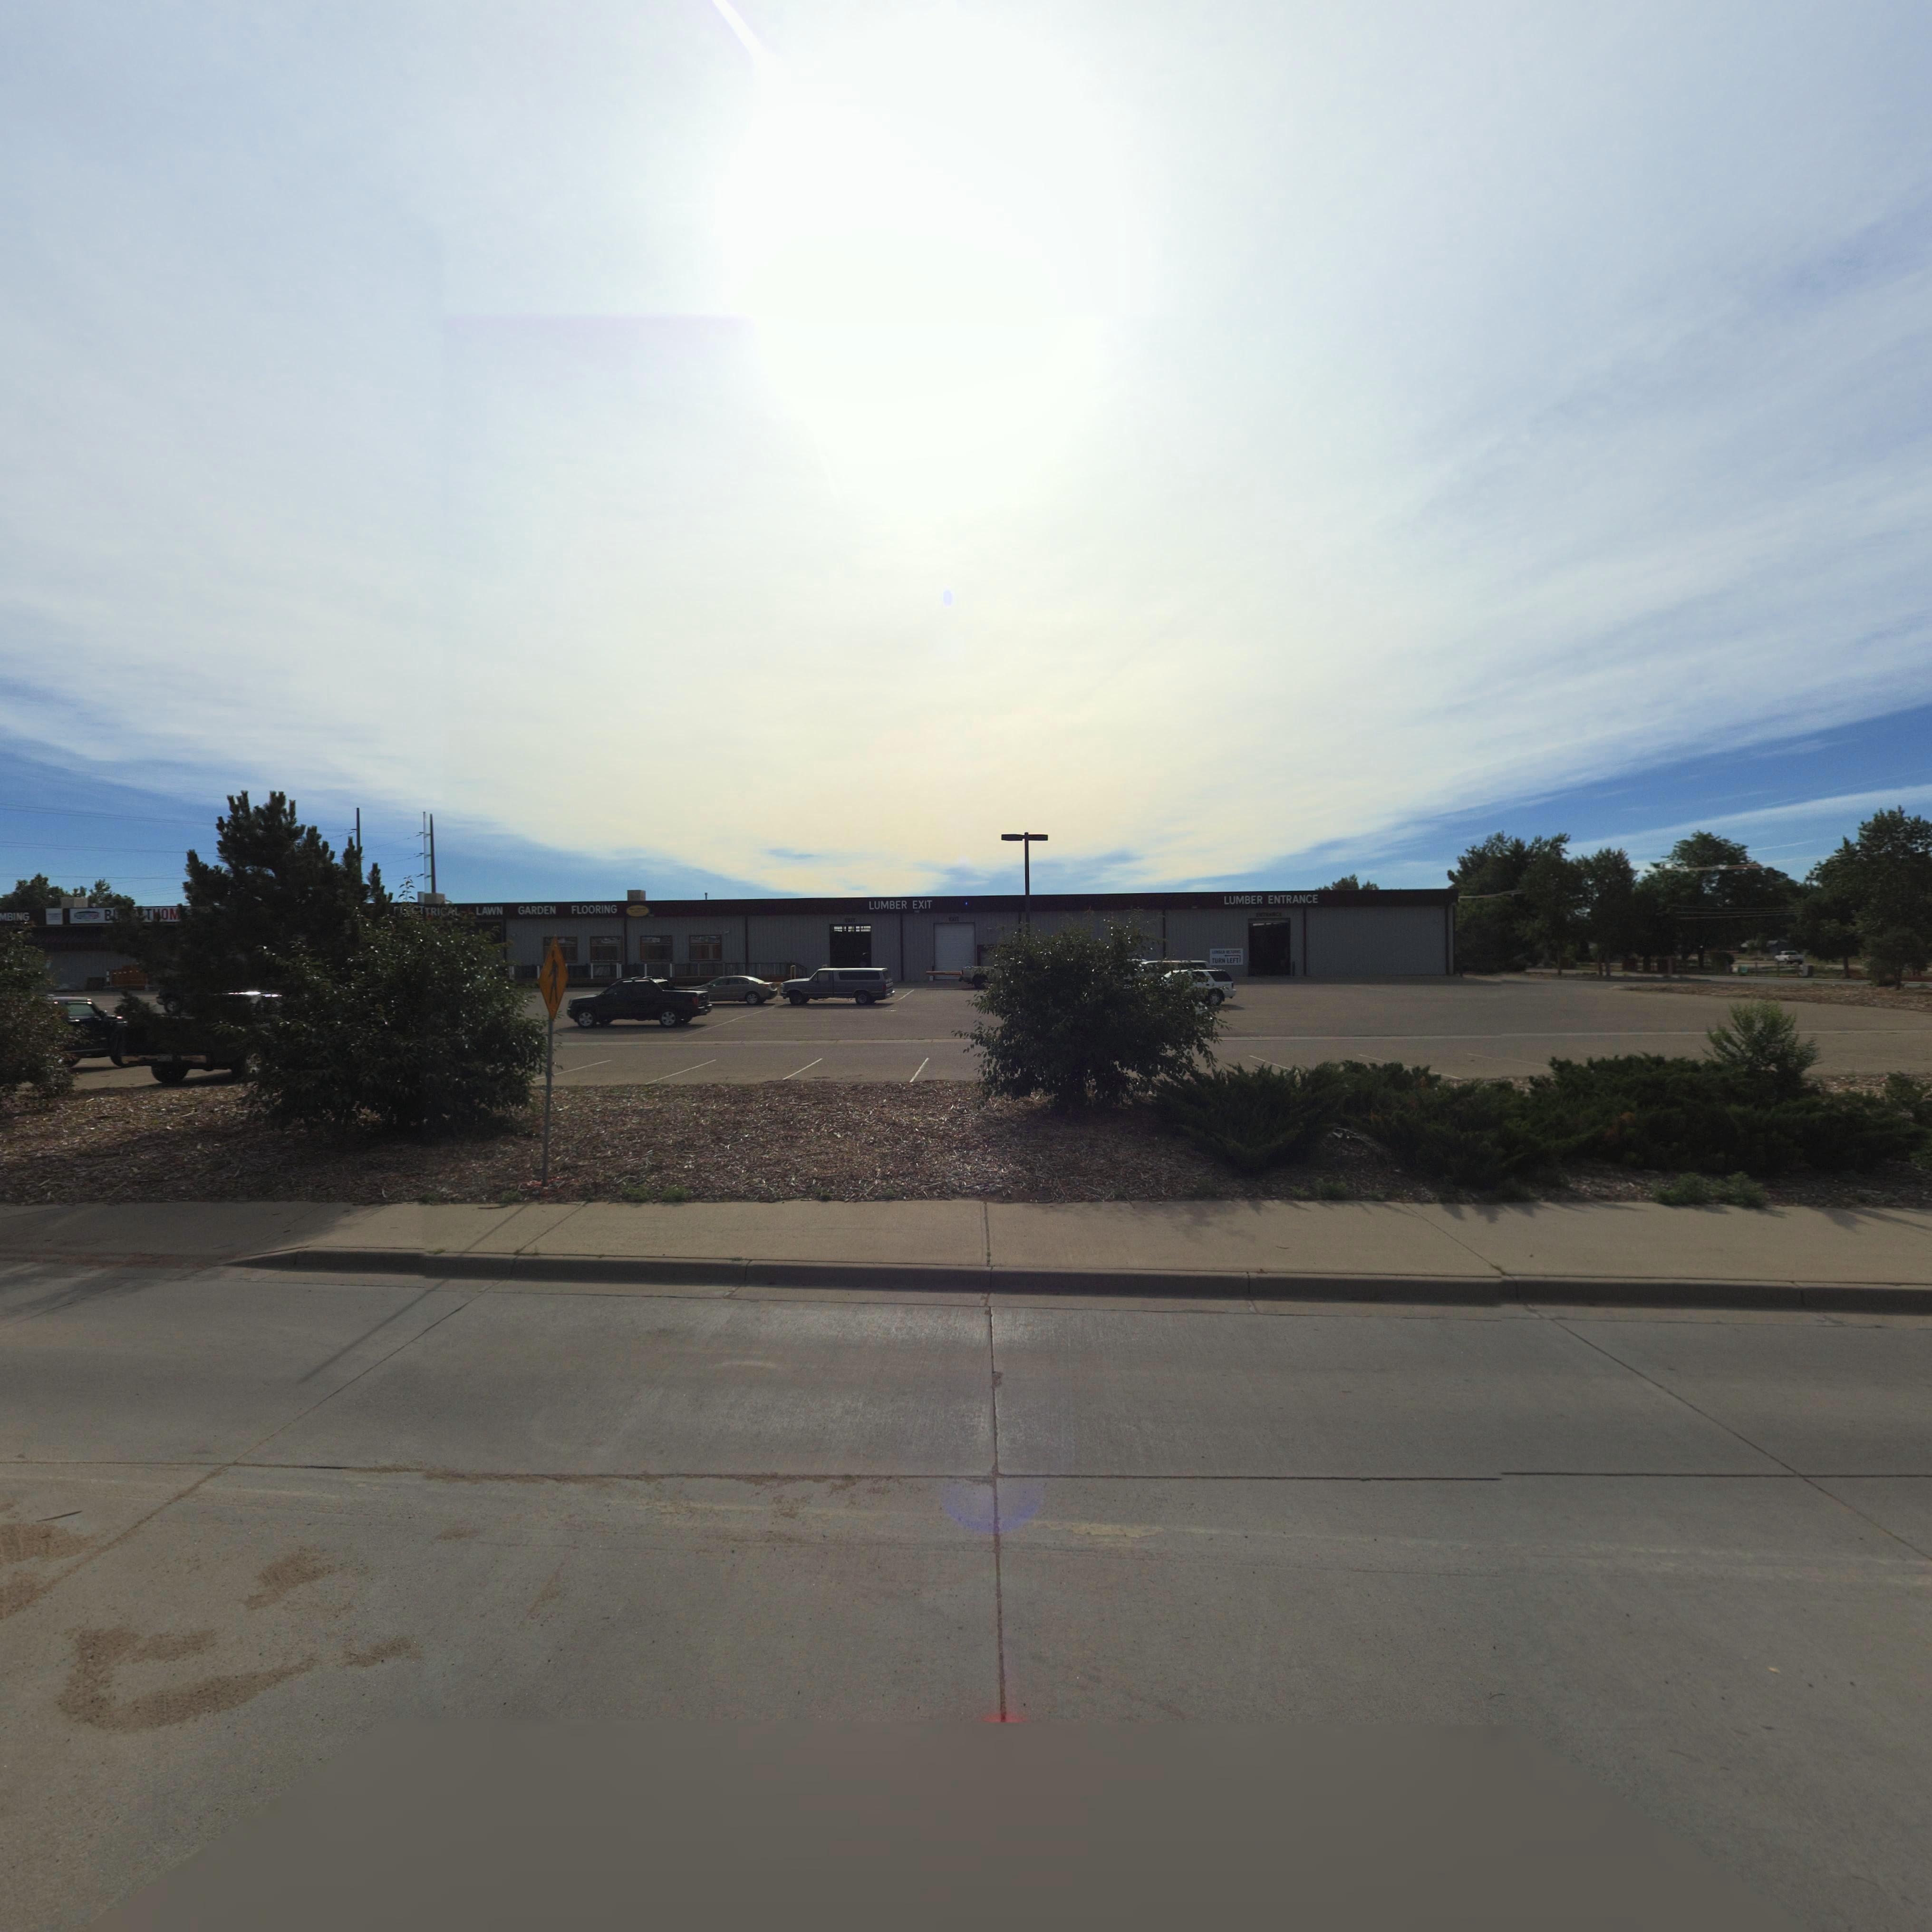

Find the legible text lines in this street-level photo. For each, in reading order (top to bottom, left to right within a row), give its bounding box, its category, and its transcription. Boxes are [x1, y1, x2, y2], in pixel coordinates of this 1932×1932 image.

[104, 907, 184, 921] BusinessName: B***T*OM*